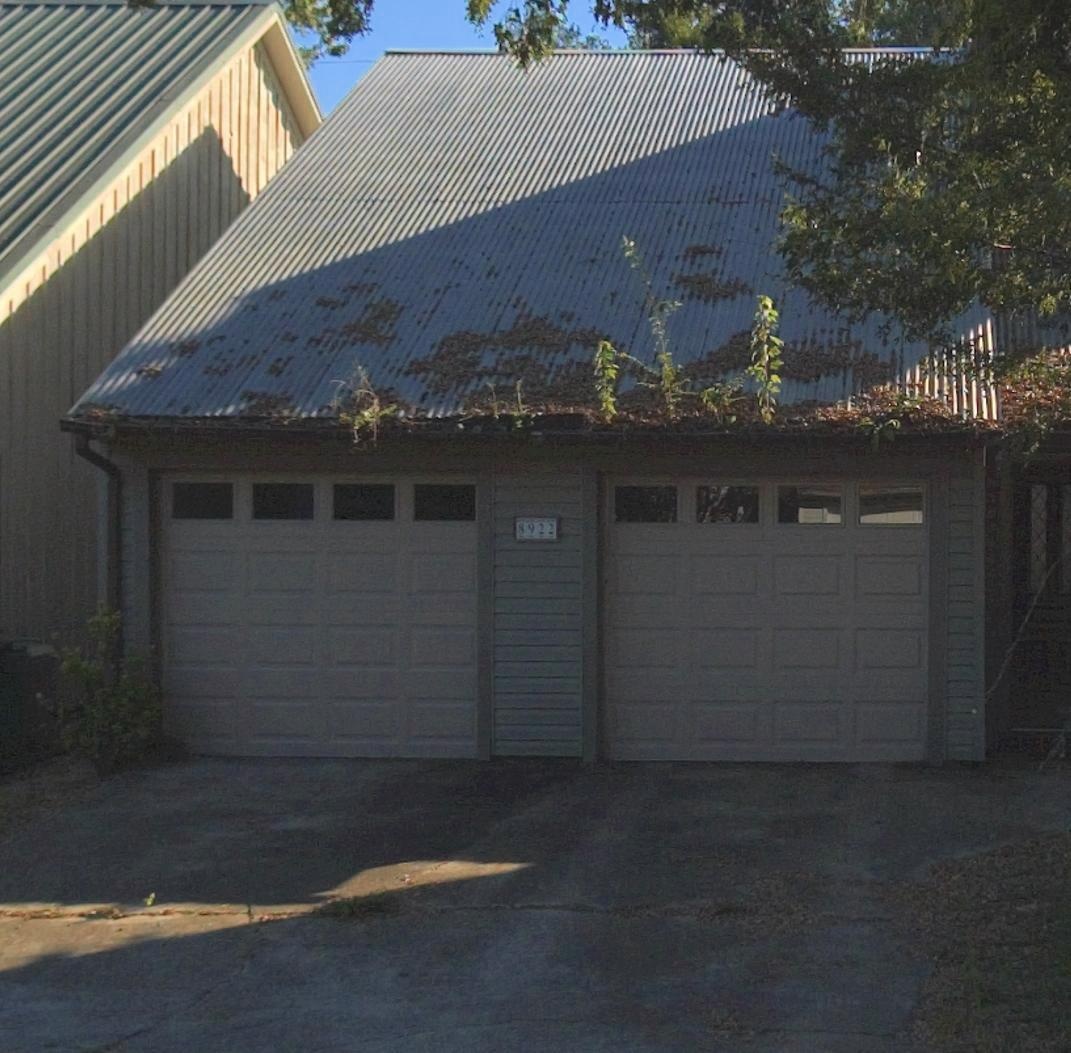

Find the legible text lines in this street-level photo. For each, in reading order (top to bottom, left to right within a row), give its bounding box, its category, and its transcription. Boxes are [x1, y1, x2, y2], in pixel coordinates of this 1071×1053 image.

[517, 521, 556, 536] StreetNumber: 8922